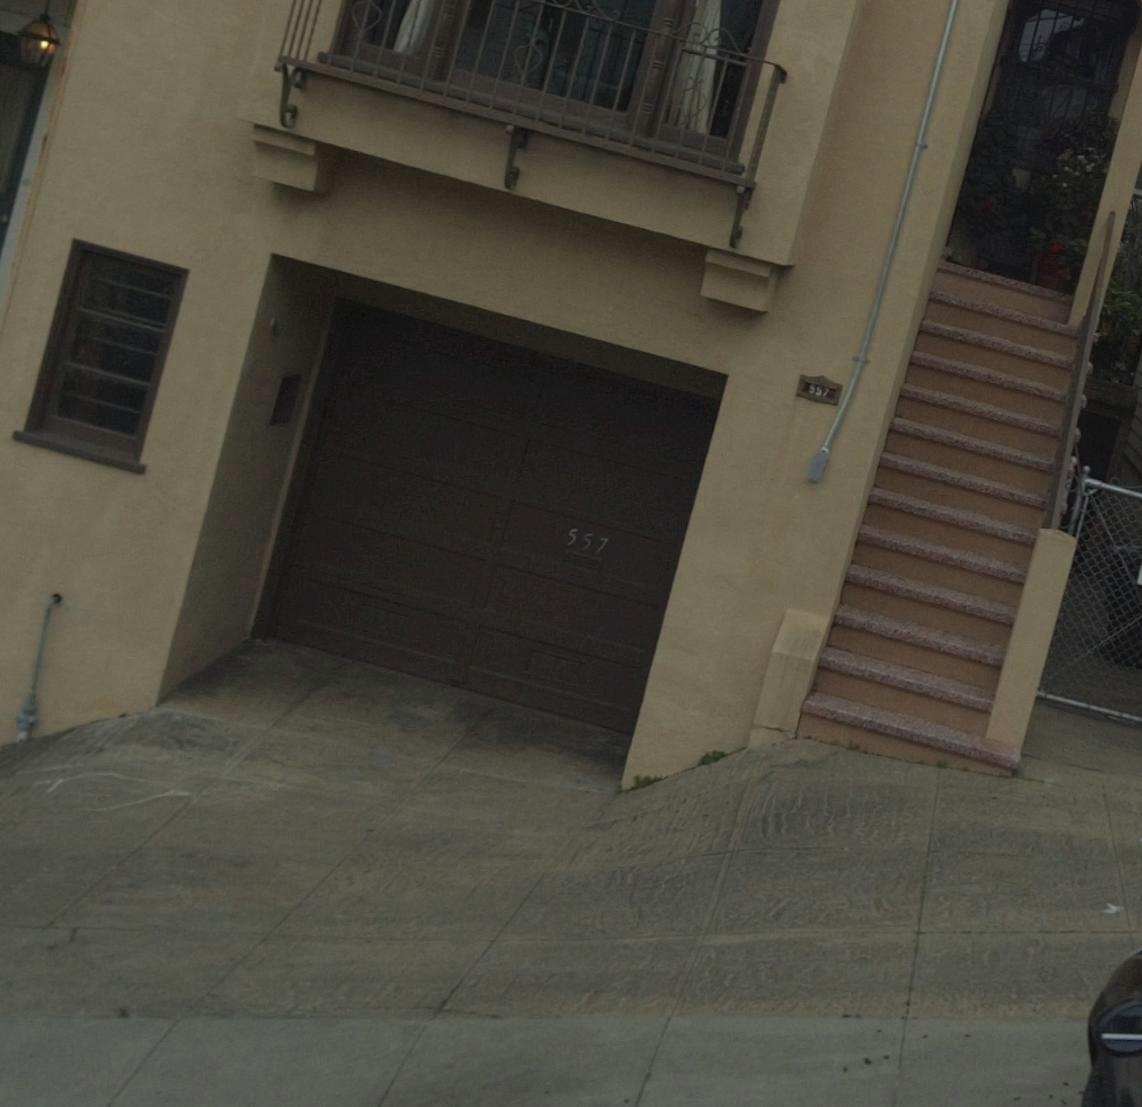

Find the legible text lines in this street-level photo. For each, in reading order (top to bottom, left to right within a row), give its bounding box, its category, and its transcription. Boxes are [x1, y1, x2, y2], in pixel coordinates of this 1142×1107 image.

[807, 384, 831, 397] StreetNumber: 557
[565, 526, 611, 555] StreetNumber: 557